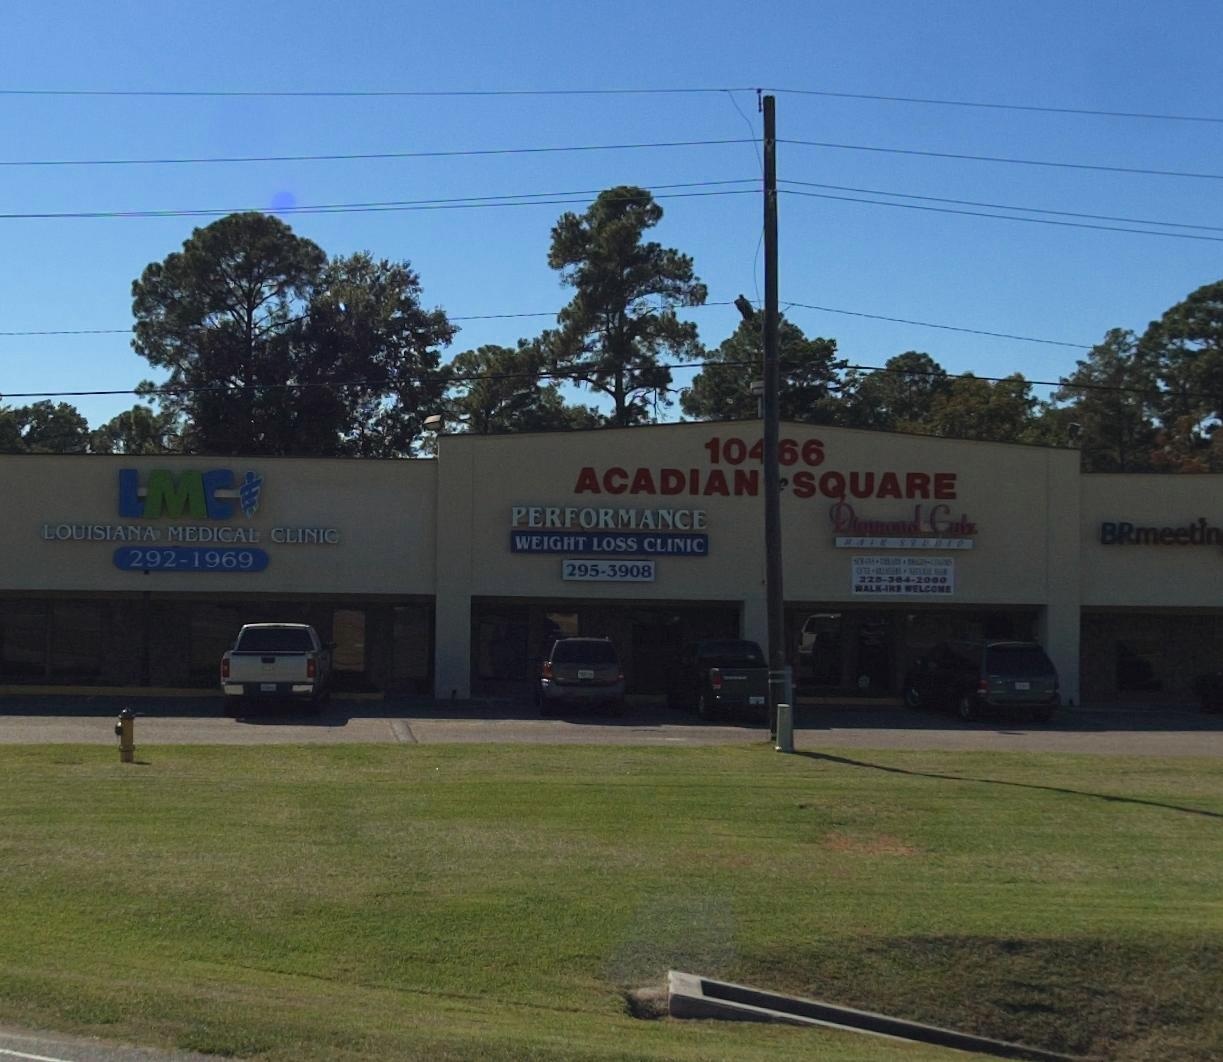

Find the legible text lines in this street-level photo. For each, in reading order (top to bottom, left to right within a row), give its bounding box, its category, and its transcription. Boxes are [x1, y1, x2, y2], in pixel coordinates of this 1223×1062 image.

[701, 433, 828, 470] StreetNumber: 10*66
[115, 466, 237, 523] None: LMC
[568, 464, 961, 504] BusinessName: ACADIAN*SQUARE
[509, 503, 708, 532] BusinessName: PERFORMANCE
[830, 498, 982, 538] BusinessName: Diamond Cu**
[42, 522, 341, 546] BusinessName: LOUISIANA MEDICAL CLINIC
[512, 533, 707, 556] BusinessName: WEIGHT LOSS CLINIC
[897, 536, 967, 550] None: ST*DIO
[1097, 514, 1222, 549] None: BRmeetin
[126, 547, 256, 571] None: 292-1969
[562, 560, 655, 581] None: 295-3908
[856, 573, 949, 586] None: 22*-3*4-20*0
[852, 582, 954, 596] None: WALK-IN WELCOME